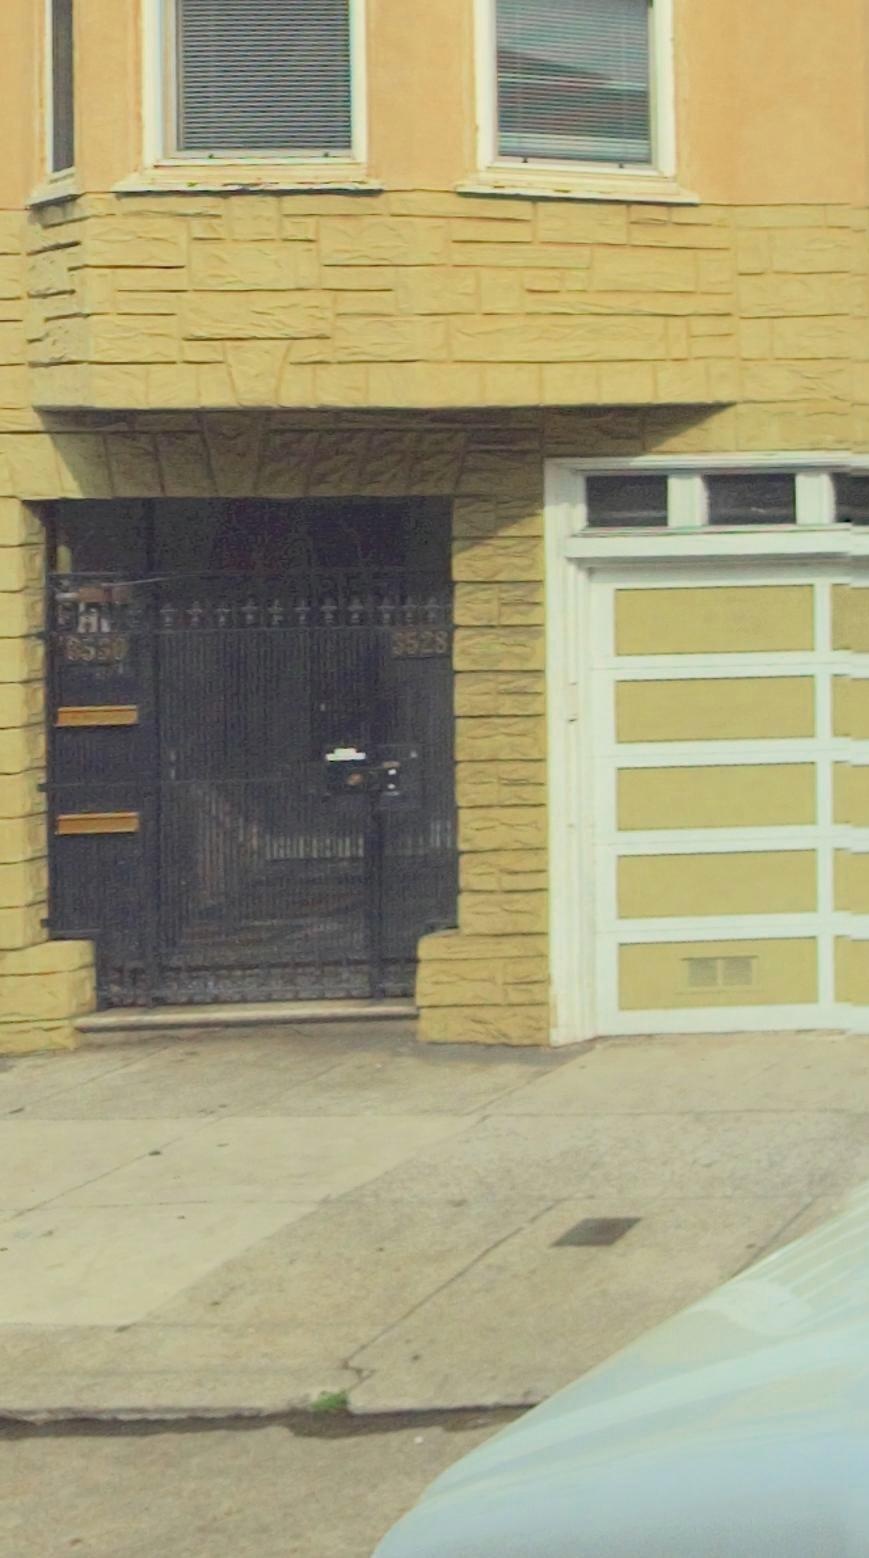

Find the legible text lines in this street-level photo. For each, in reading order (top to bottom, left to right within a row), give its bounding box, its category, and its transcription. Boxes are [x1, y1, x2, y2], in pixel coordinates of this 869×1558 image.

[65, 633, 128, 662] StreetNumber: 3530
[391, 629, 448, 656] StreetNumber: 3528